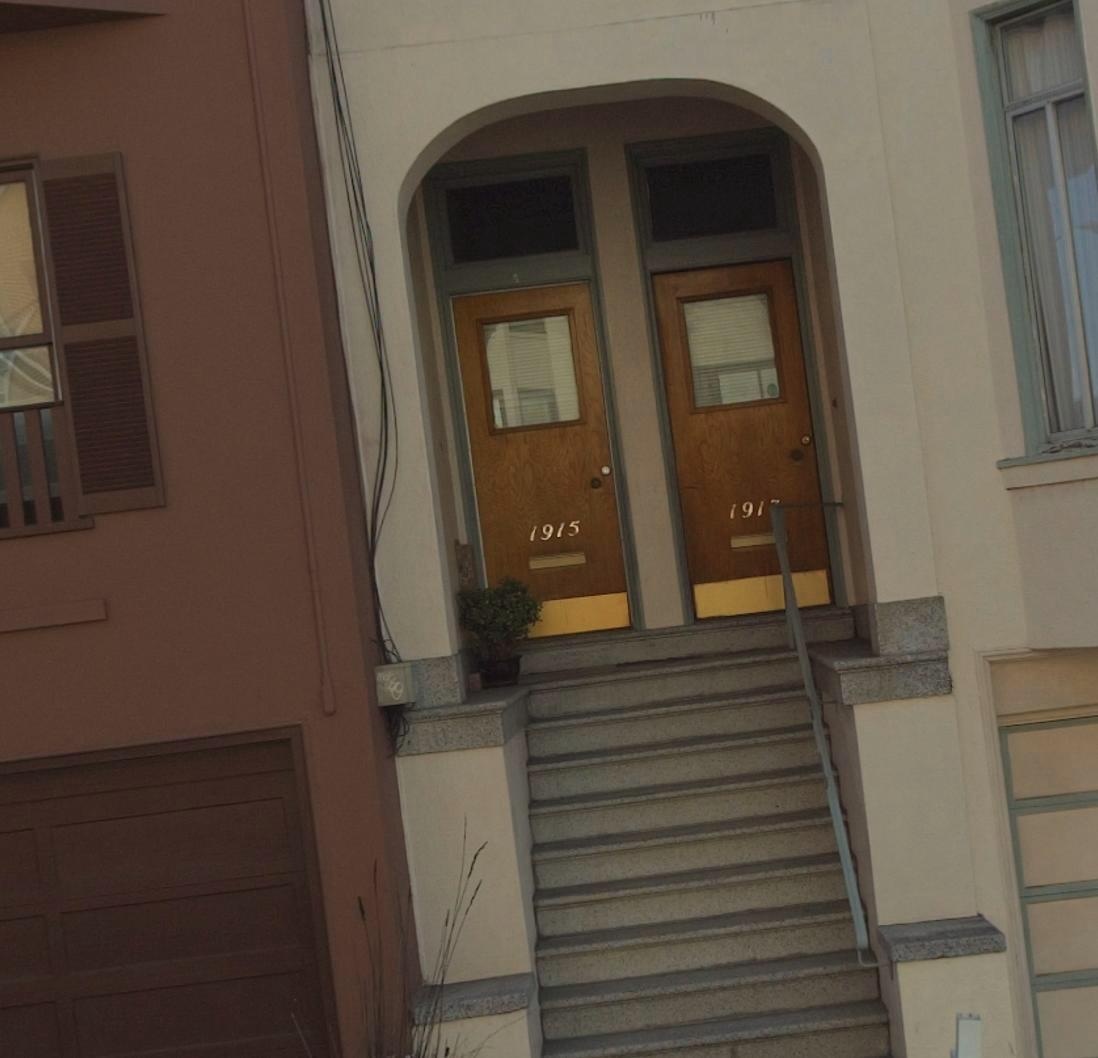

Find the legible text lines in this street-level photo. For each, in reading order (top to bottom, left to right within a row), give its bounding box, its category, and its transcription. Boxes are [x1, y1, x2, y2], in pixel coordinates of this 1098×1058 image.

[726, 496, 767, 523] StreetNumber: 191
[527, 516, 583, 547] StreetNumber: 1915